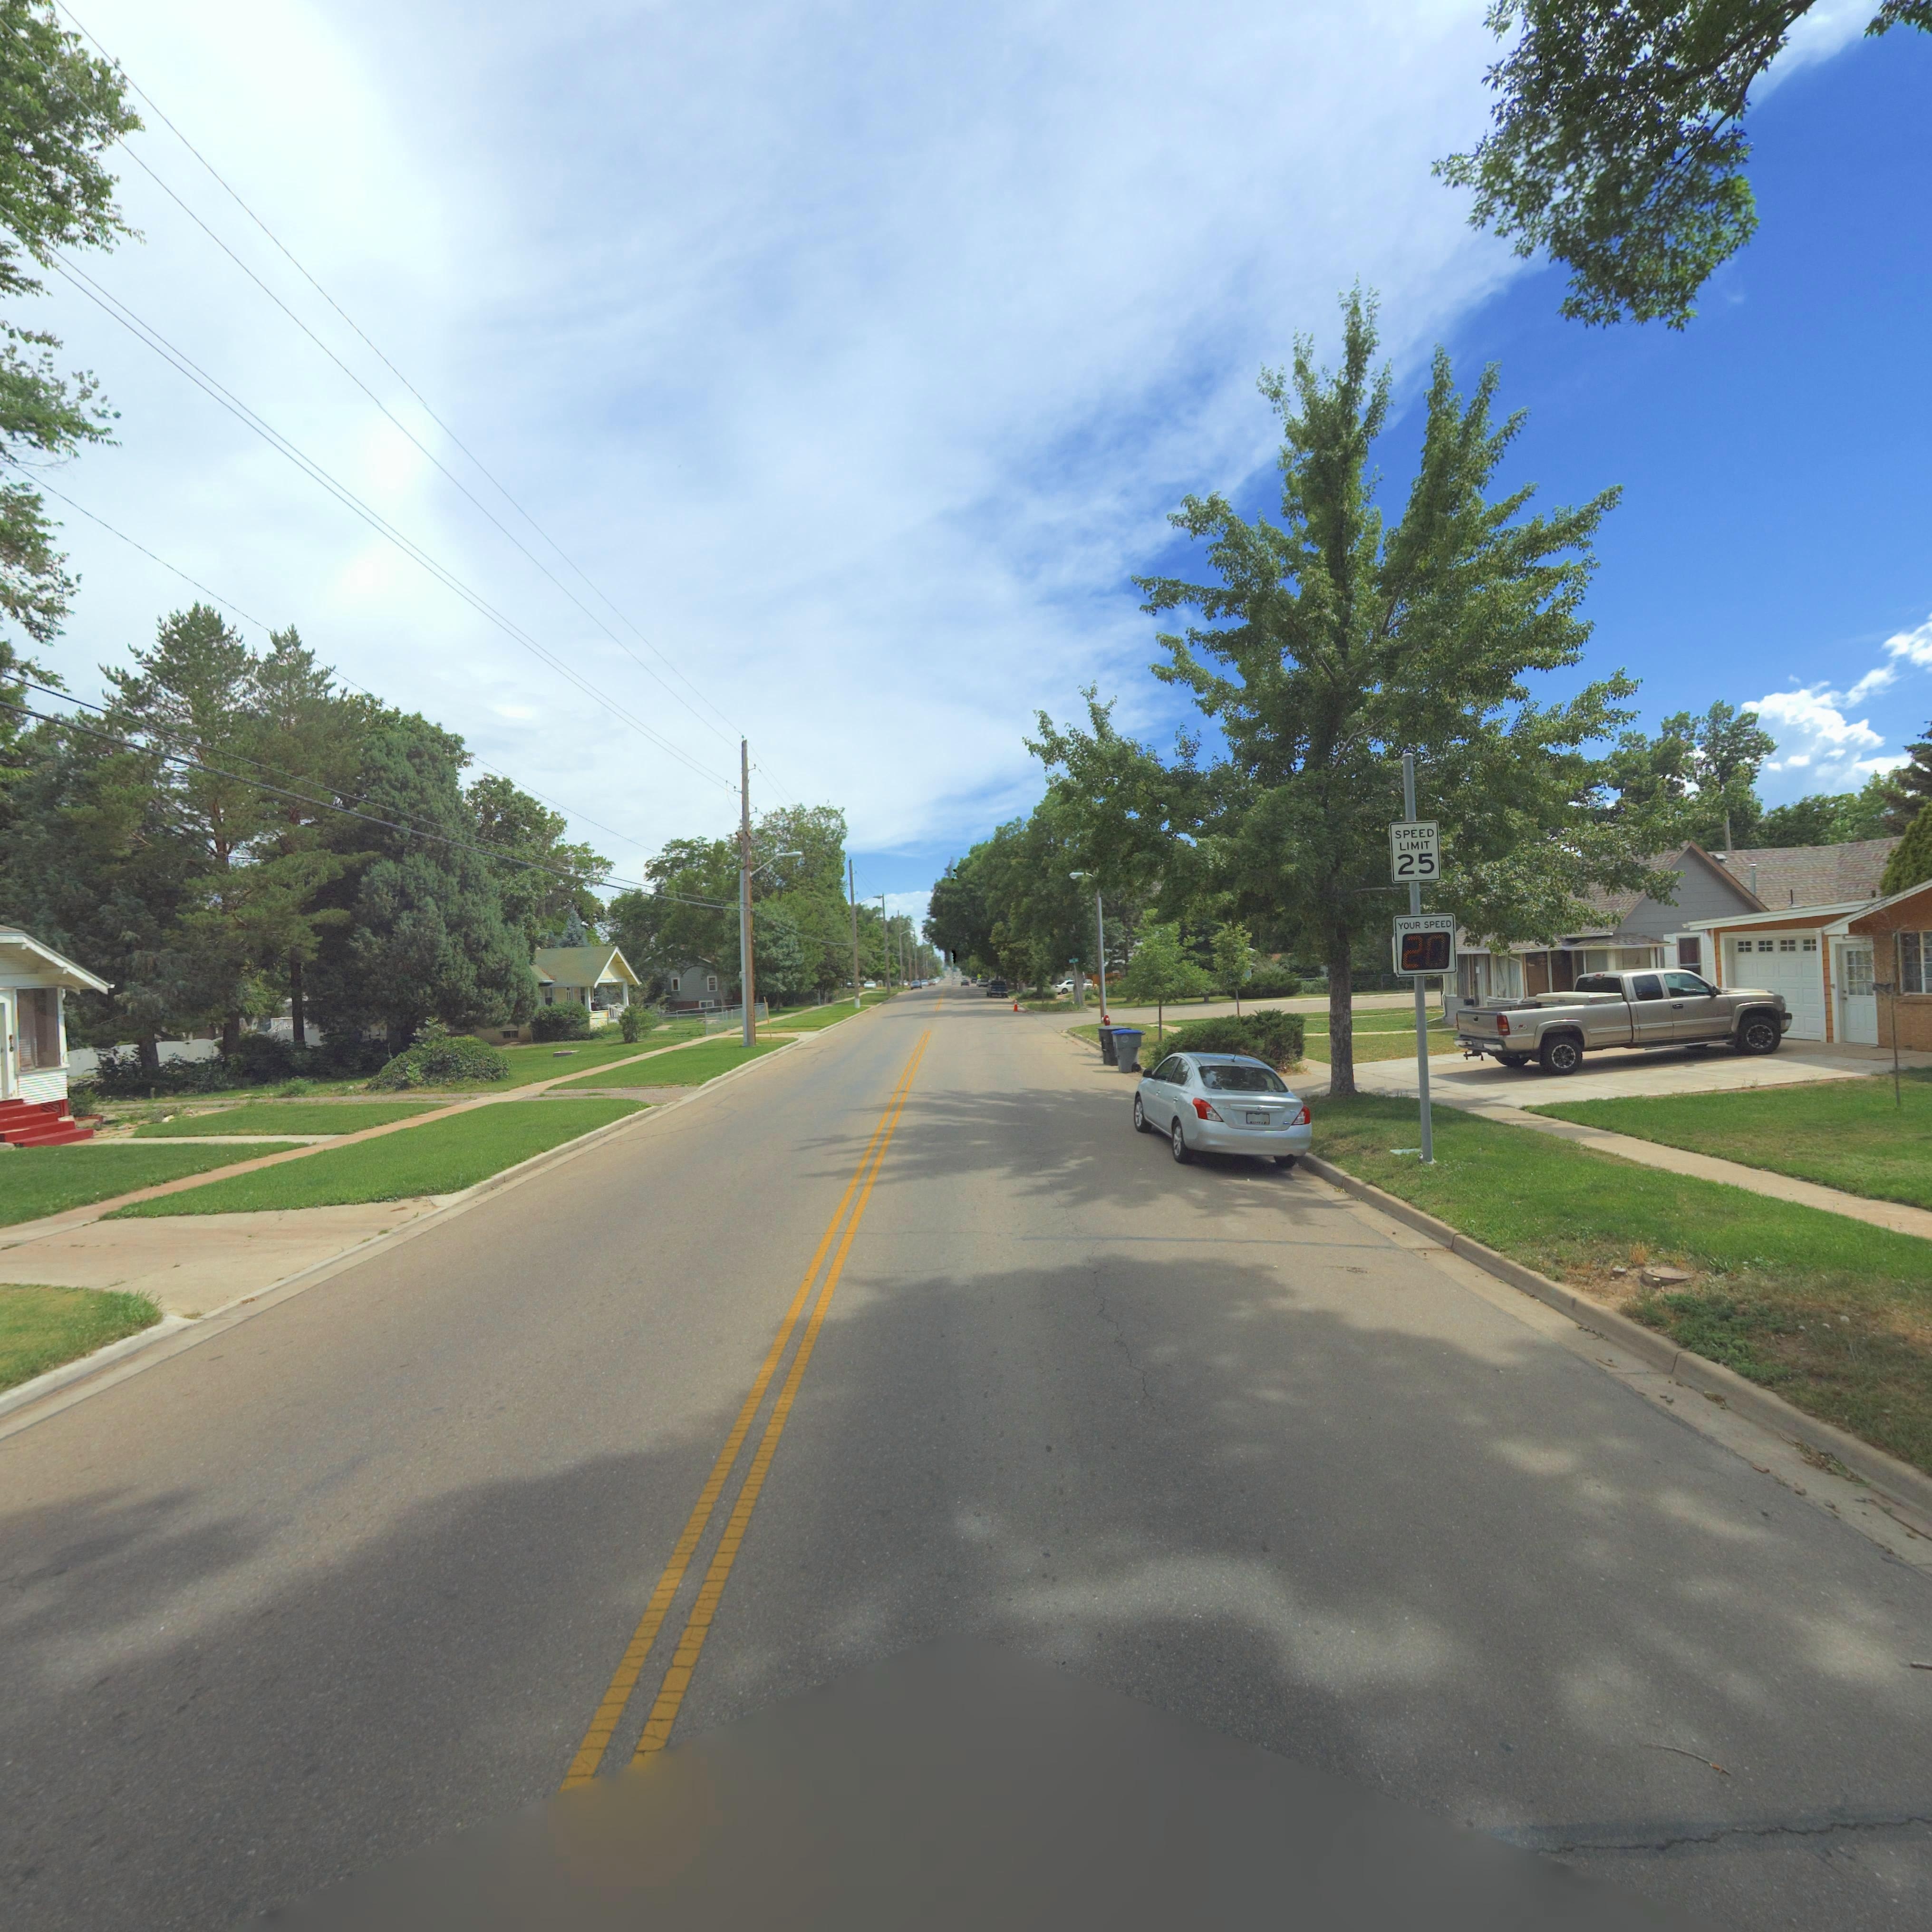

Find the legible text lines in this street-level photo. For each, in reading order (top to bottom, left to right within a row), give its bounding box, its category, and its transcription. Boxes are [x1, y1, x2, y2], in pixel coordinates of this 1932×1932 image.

[1395, 829, 1433, 839] TrafficSign: SPEED